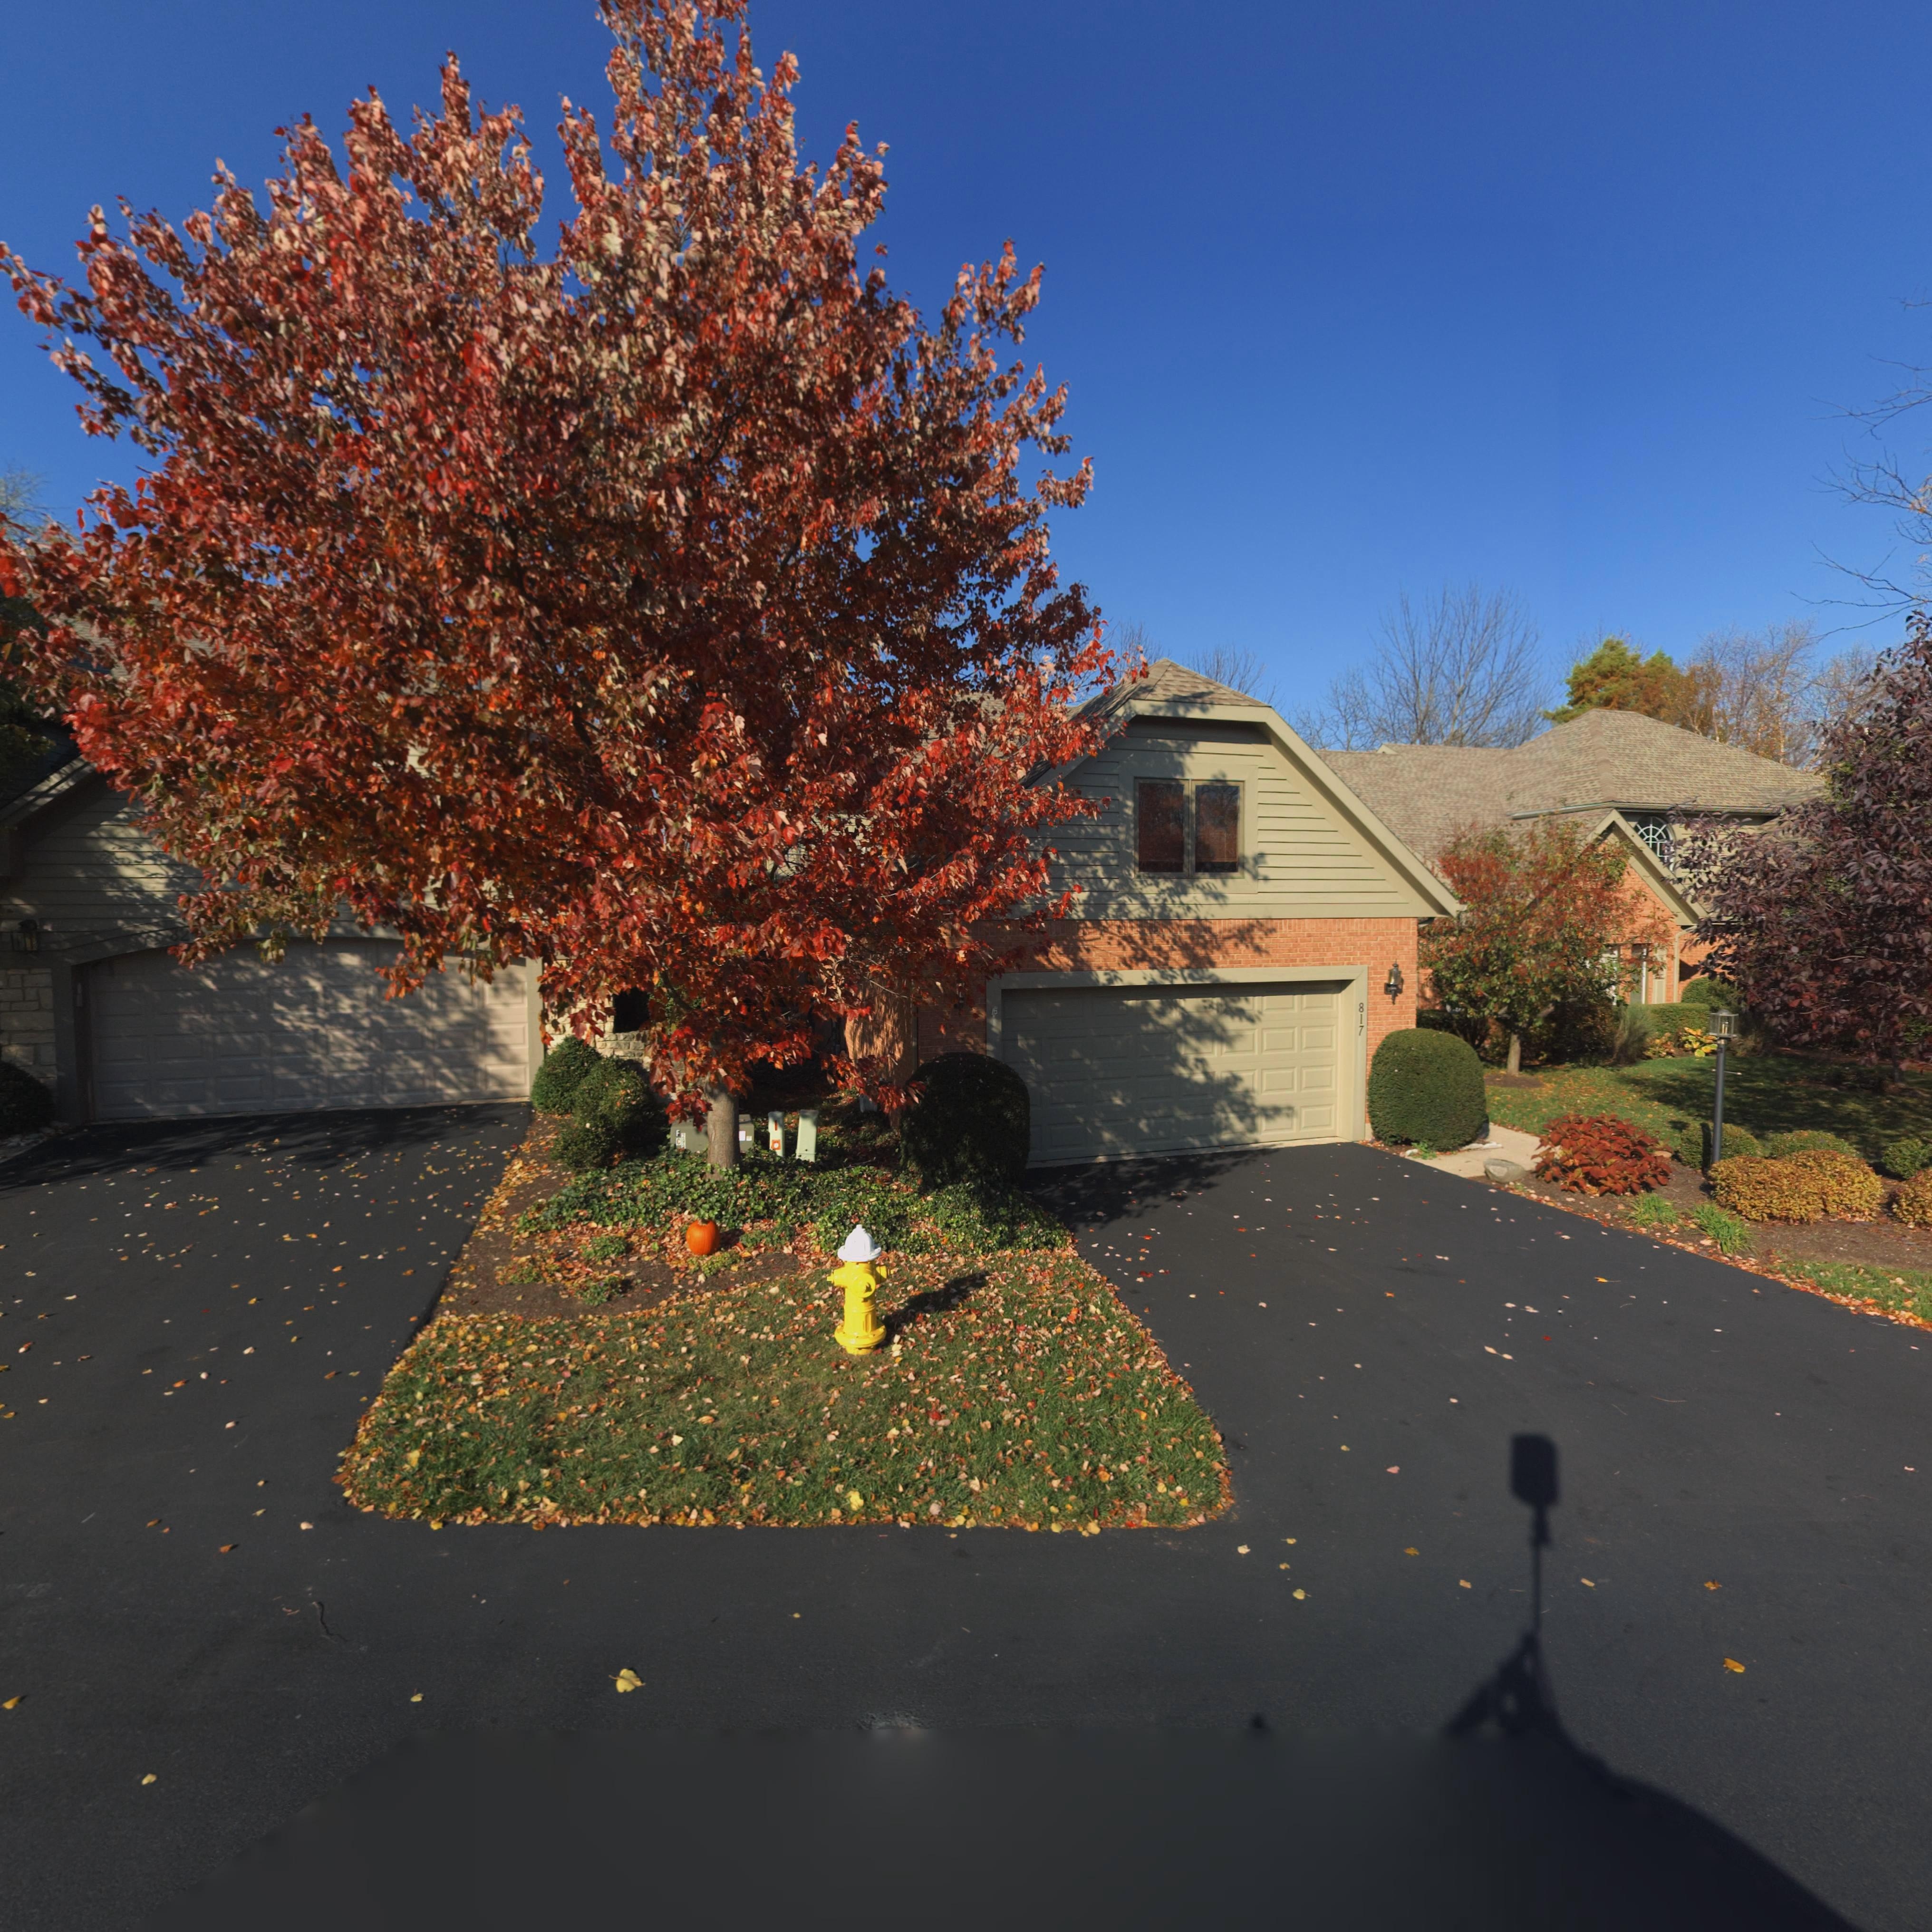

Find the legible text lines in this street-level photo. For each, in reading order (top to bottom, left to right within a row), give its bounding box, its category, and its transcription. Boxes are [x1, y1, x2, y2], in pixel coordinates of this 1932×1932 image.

[1357, 1002, 1365, 1037] StreetNumber: 817